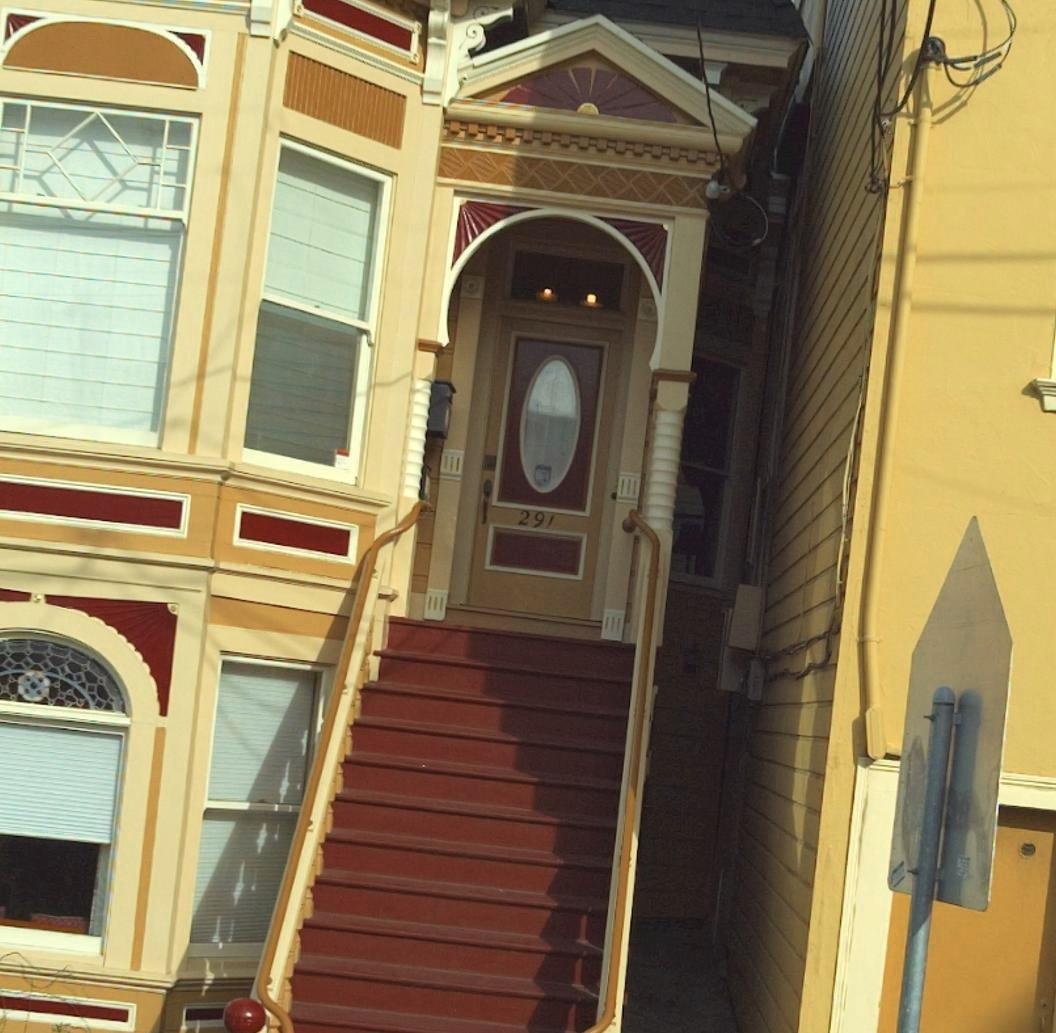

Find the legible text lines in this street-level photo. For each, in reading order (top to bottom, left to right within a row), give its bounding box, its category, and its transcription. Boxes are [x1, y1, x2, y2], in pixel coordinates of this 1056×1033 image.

[518, 509, 559, 530] StreetNumber: 291